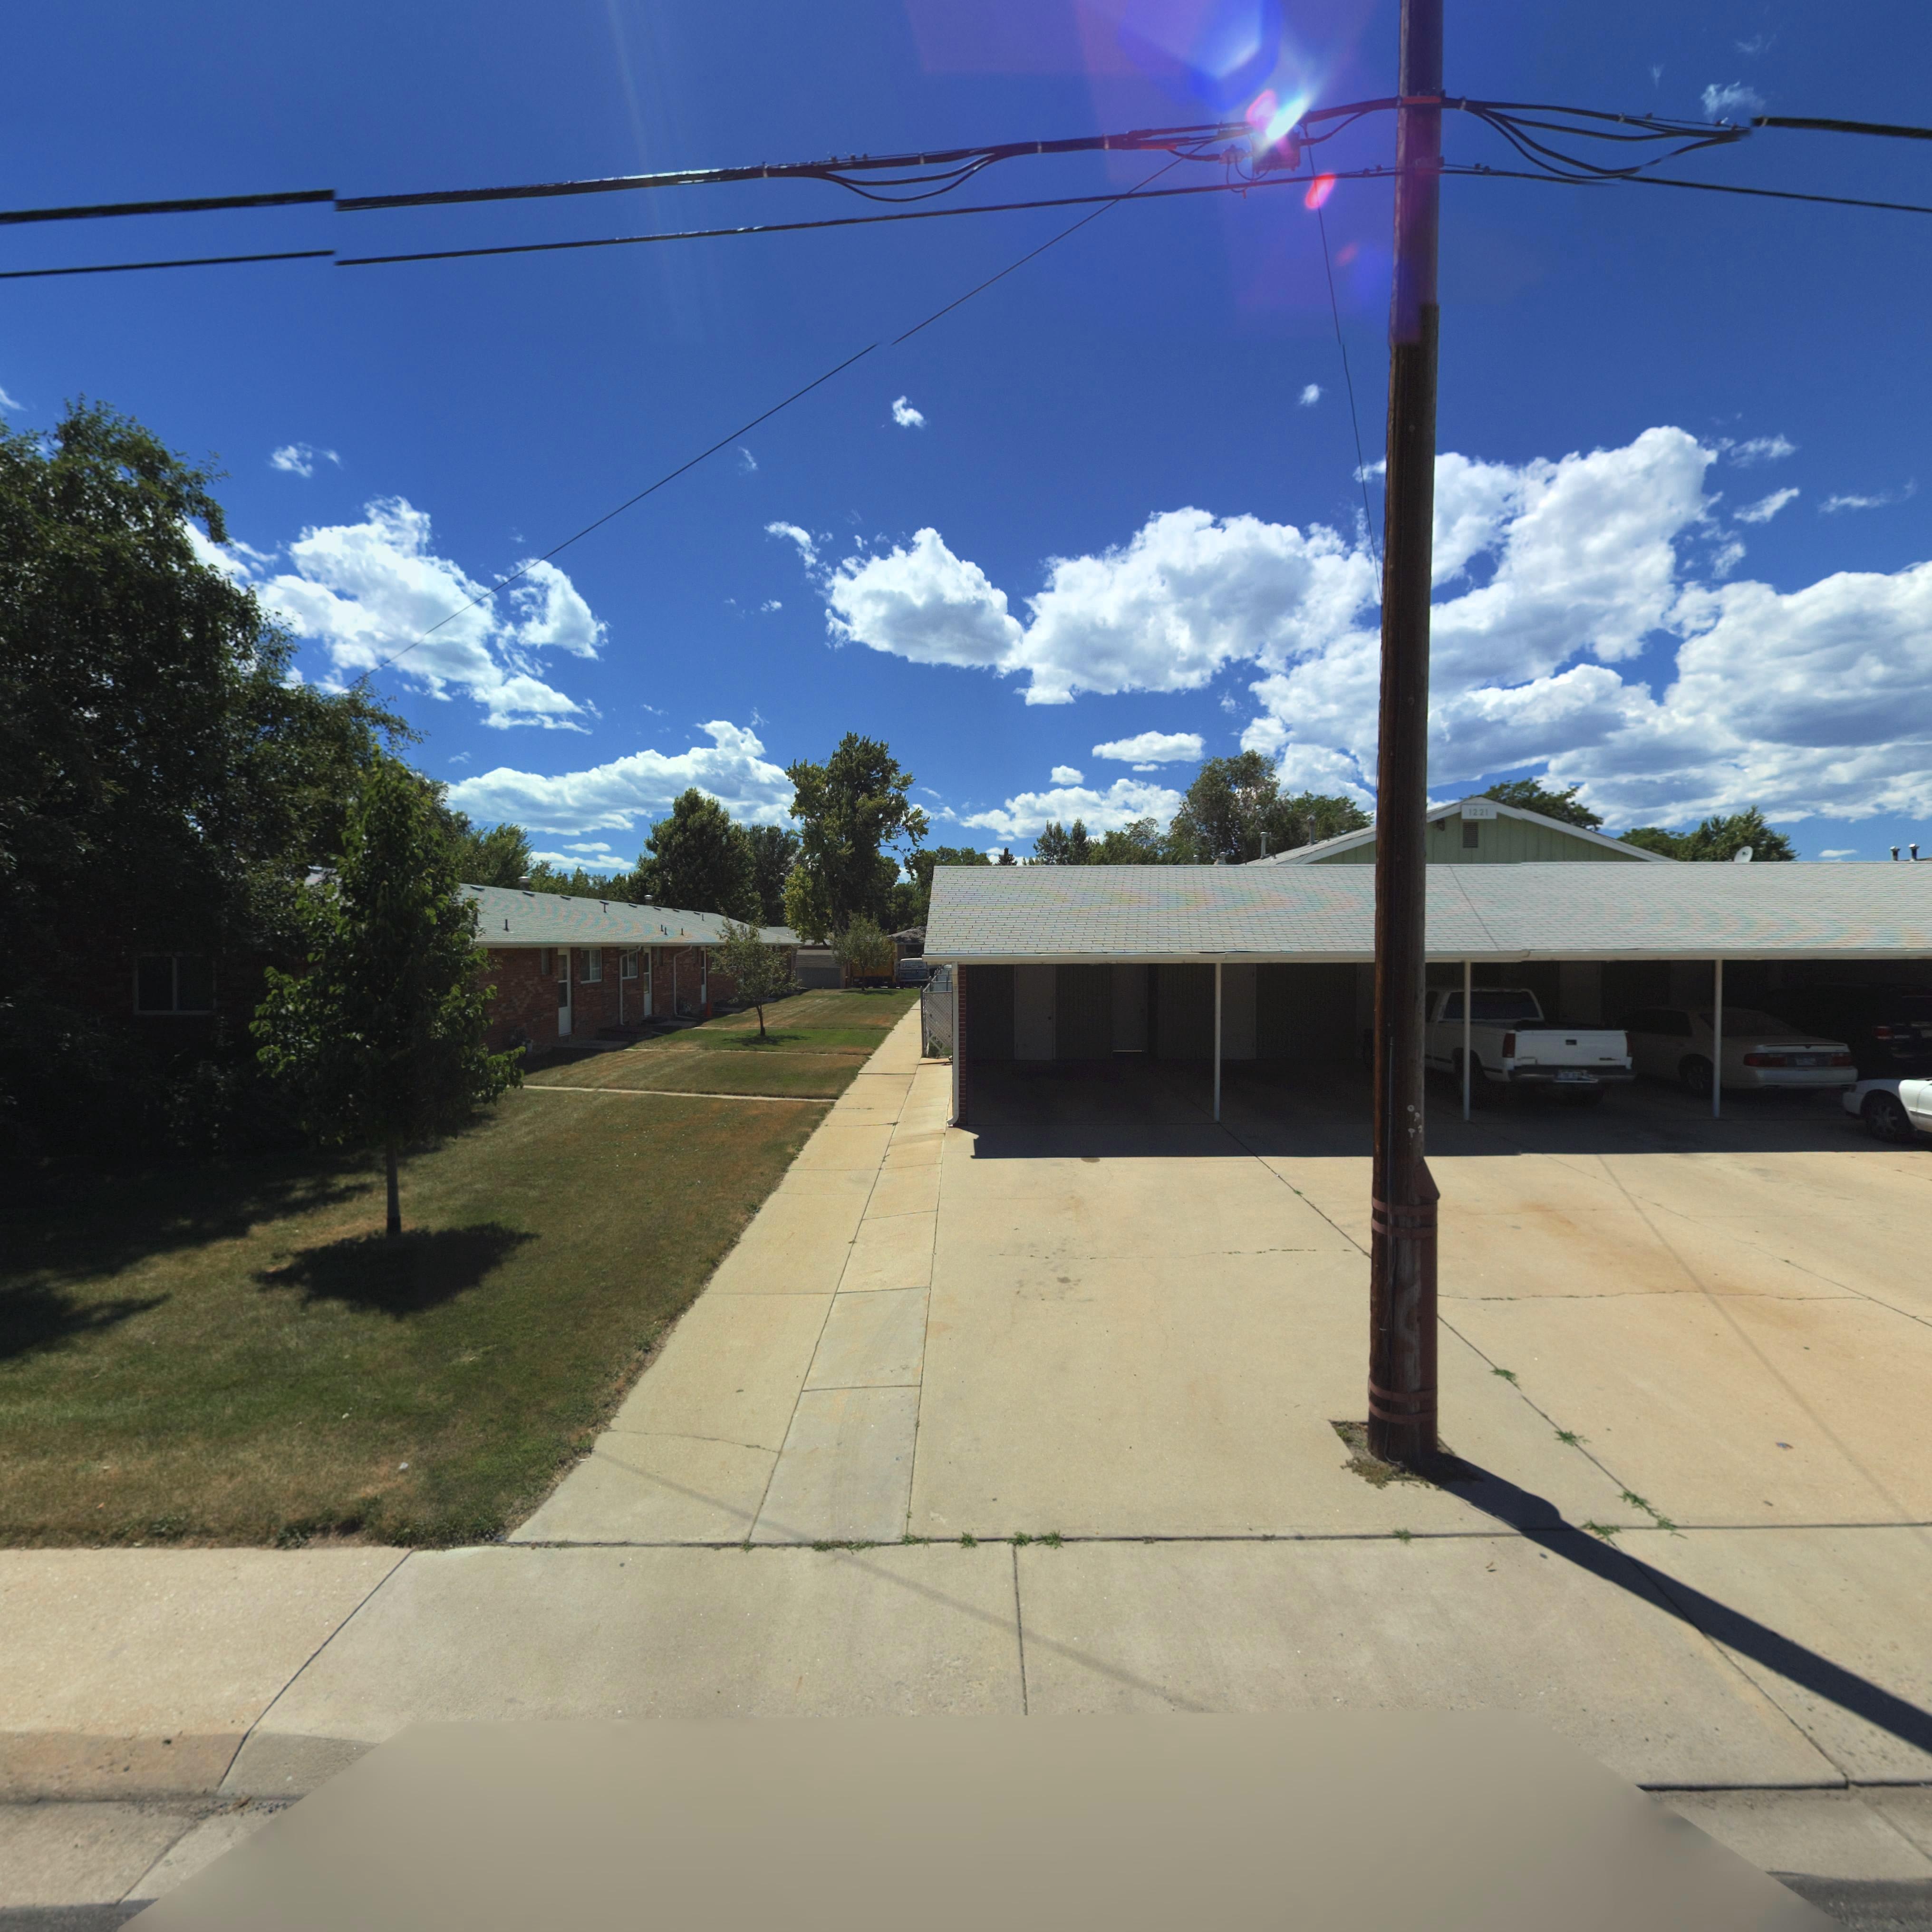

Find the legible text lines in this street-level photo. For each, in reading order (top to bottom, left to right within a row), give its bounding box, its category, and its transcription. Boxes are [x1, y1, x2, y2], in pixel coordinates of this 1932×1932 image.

[1468, 808, 1488, 816] StreetNumber: 1221